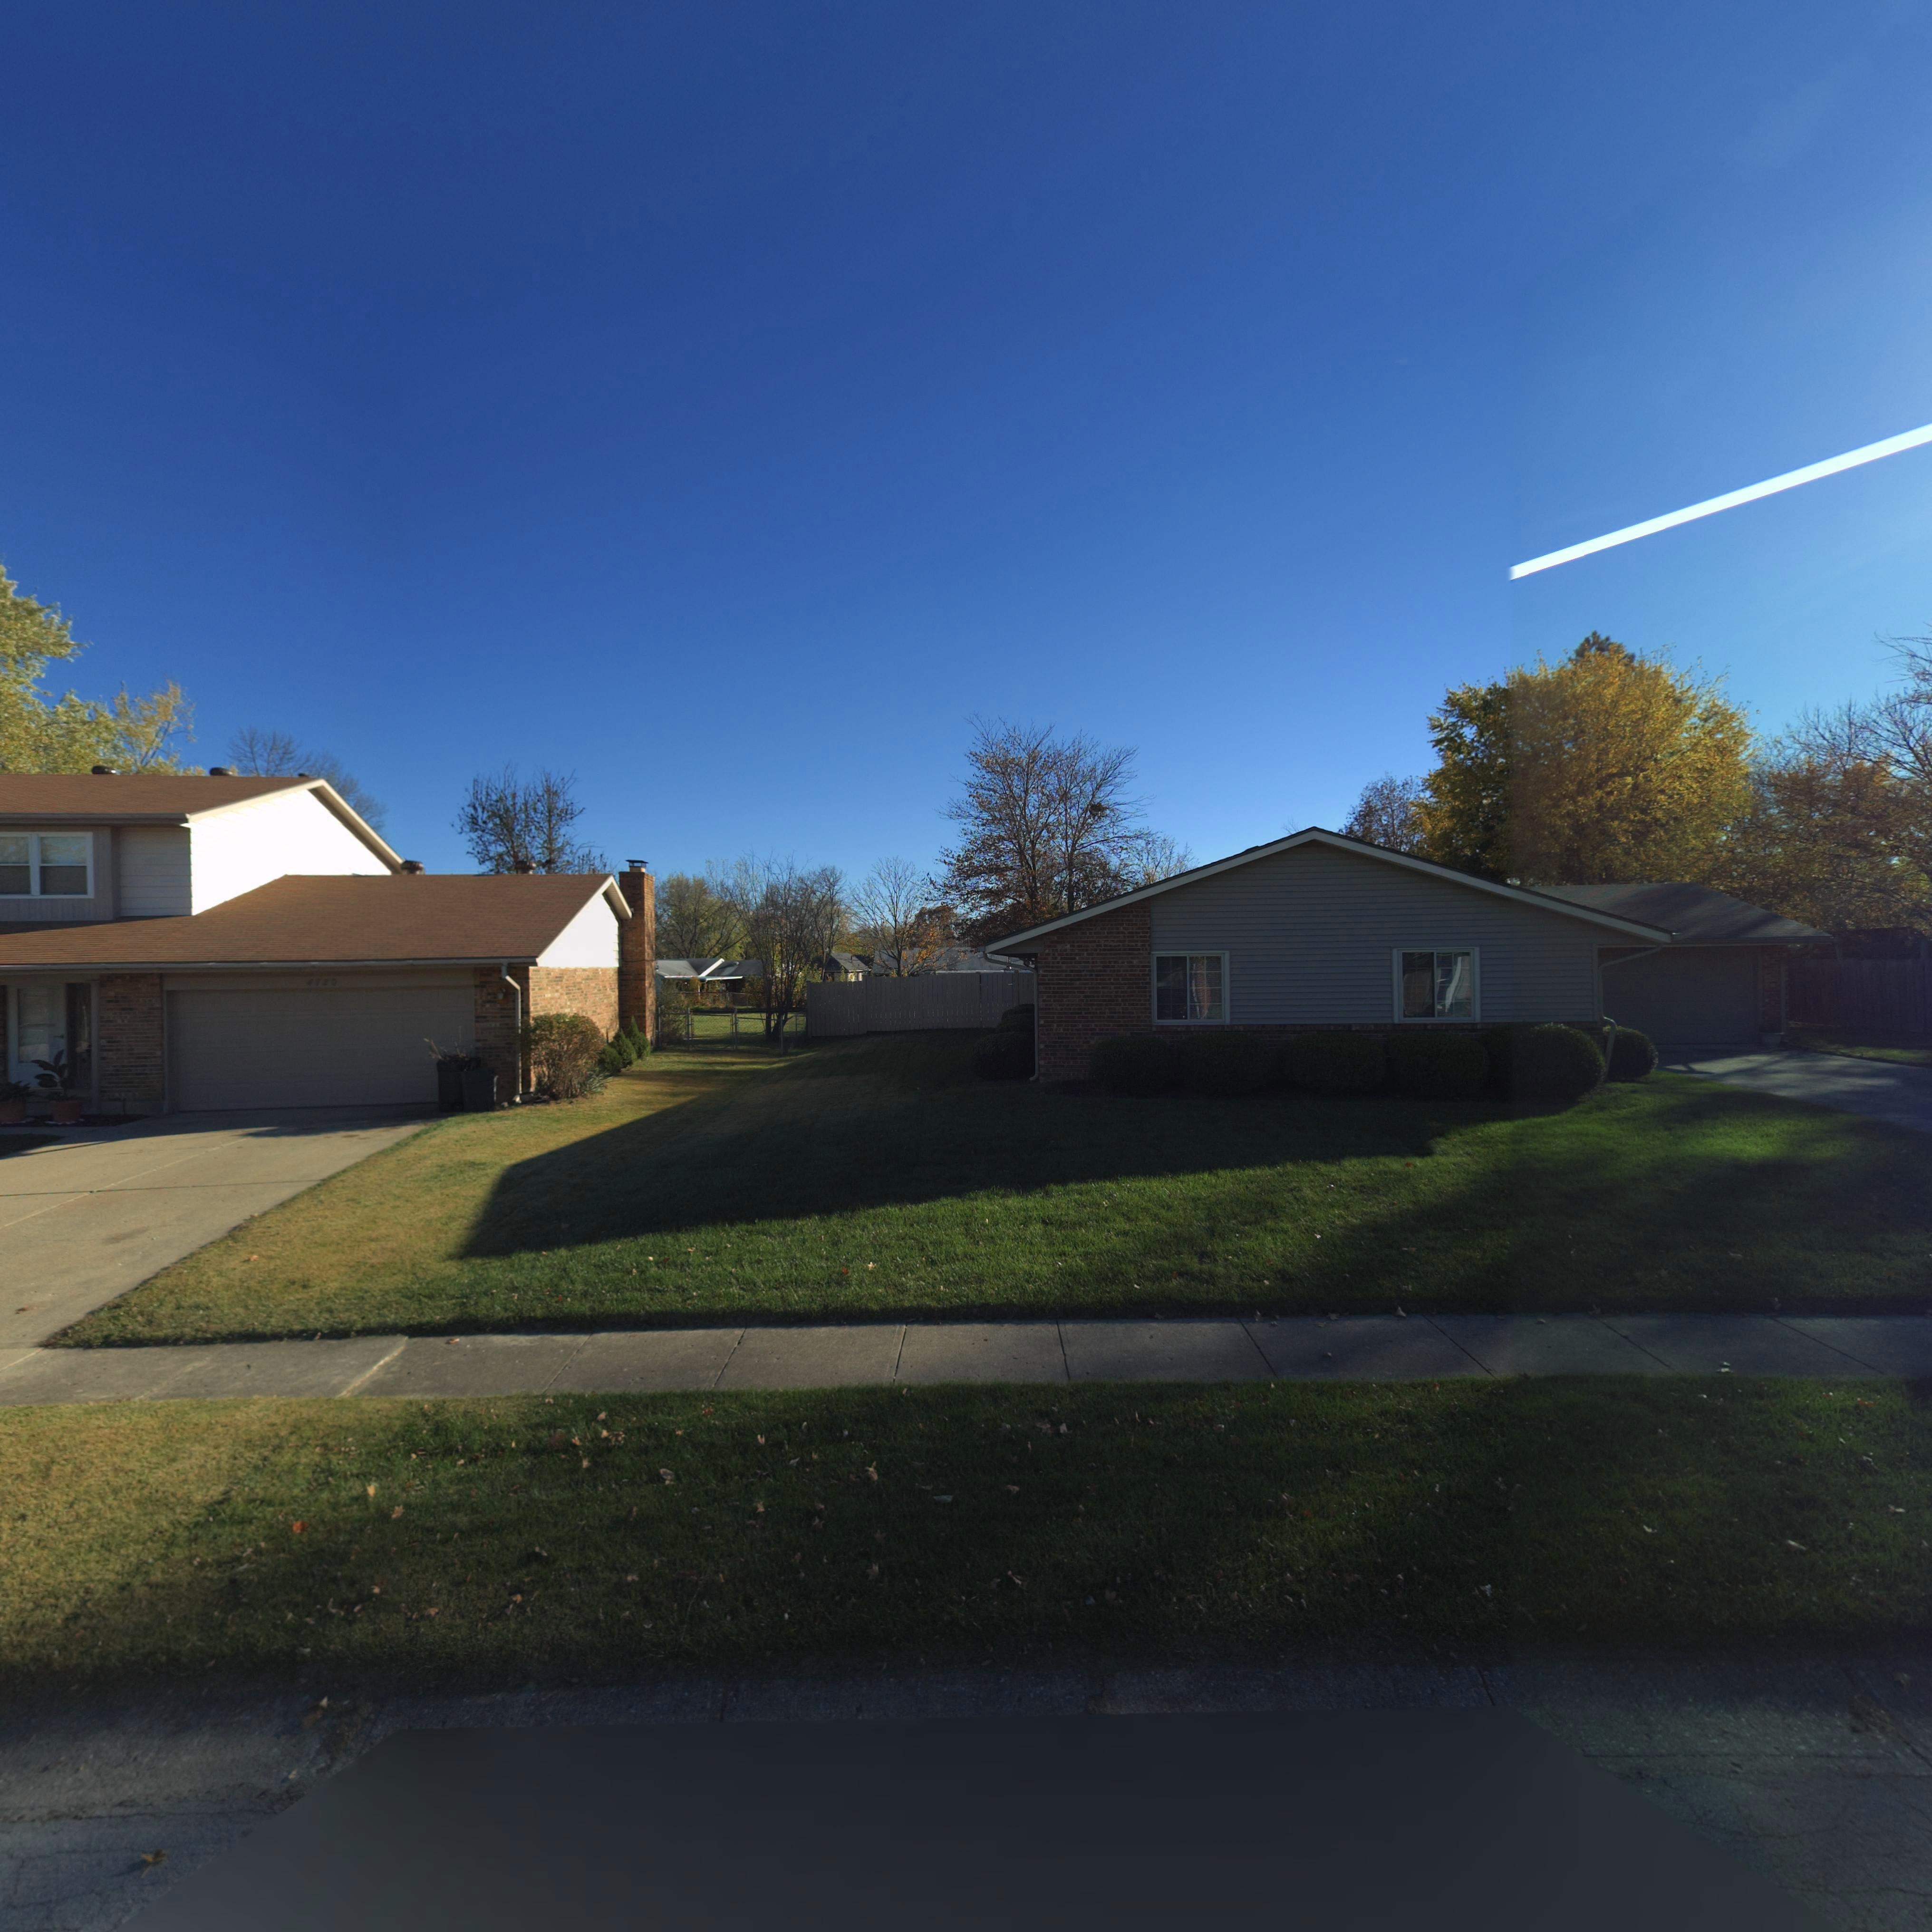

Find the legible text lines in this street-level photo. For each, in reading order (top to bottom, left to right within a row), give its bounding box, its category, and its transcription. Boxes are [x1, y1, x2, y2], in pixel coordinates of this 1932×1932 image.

[306, 977, 339, 988] StreetNumber: 4720